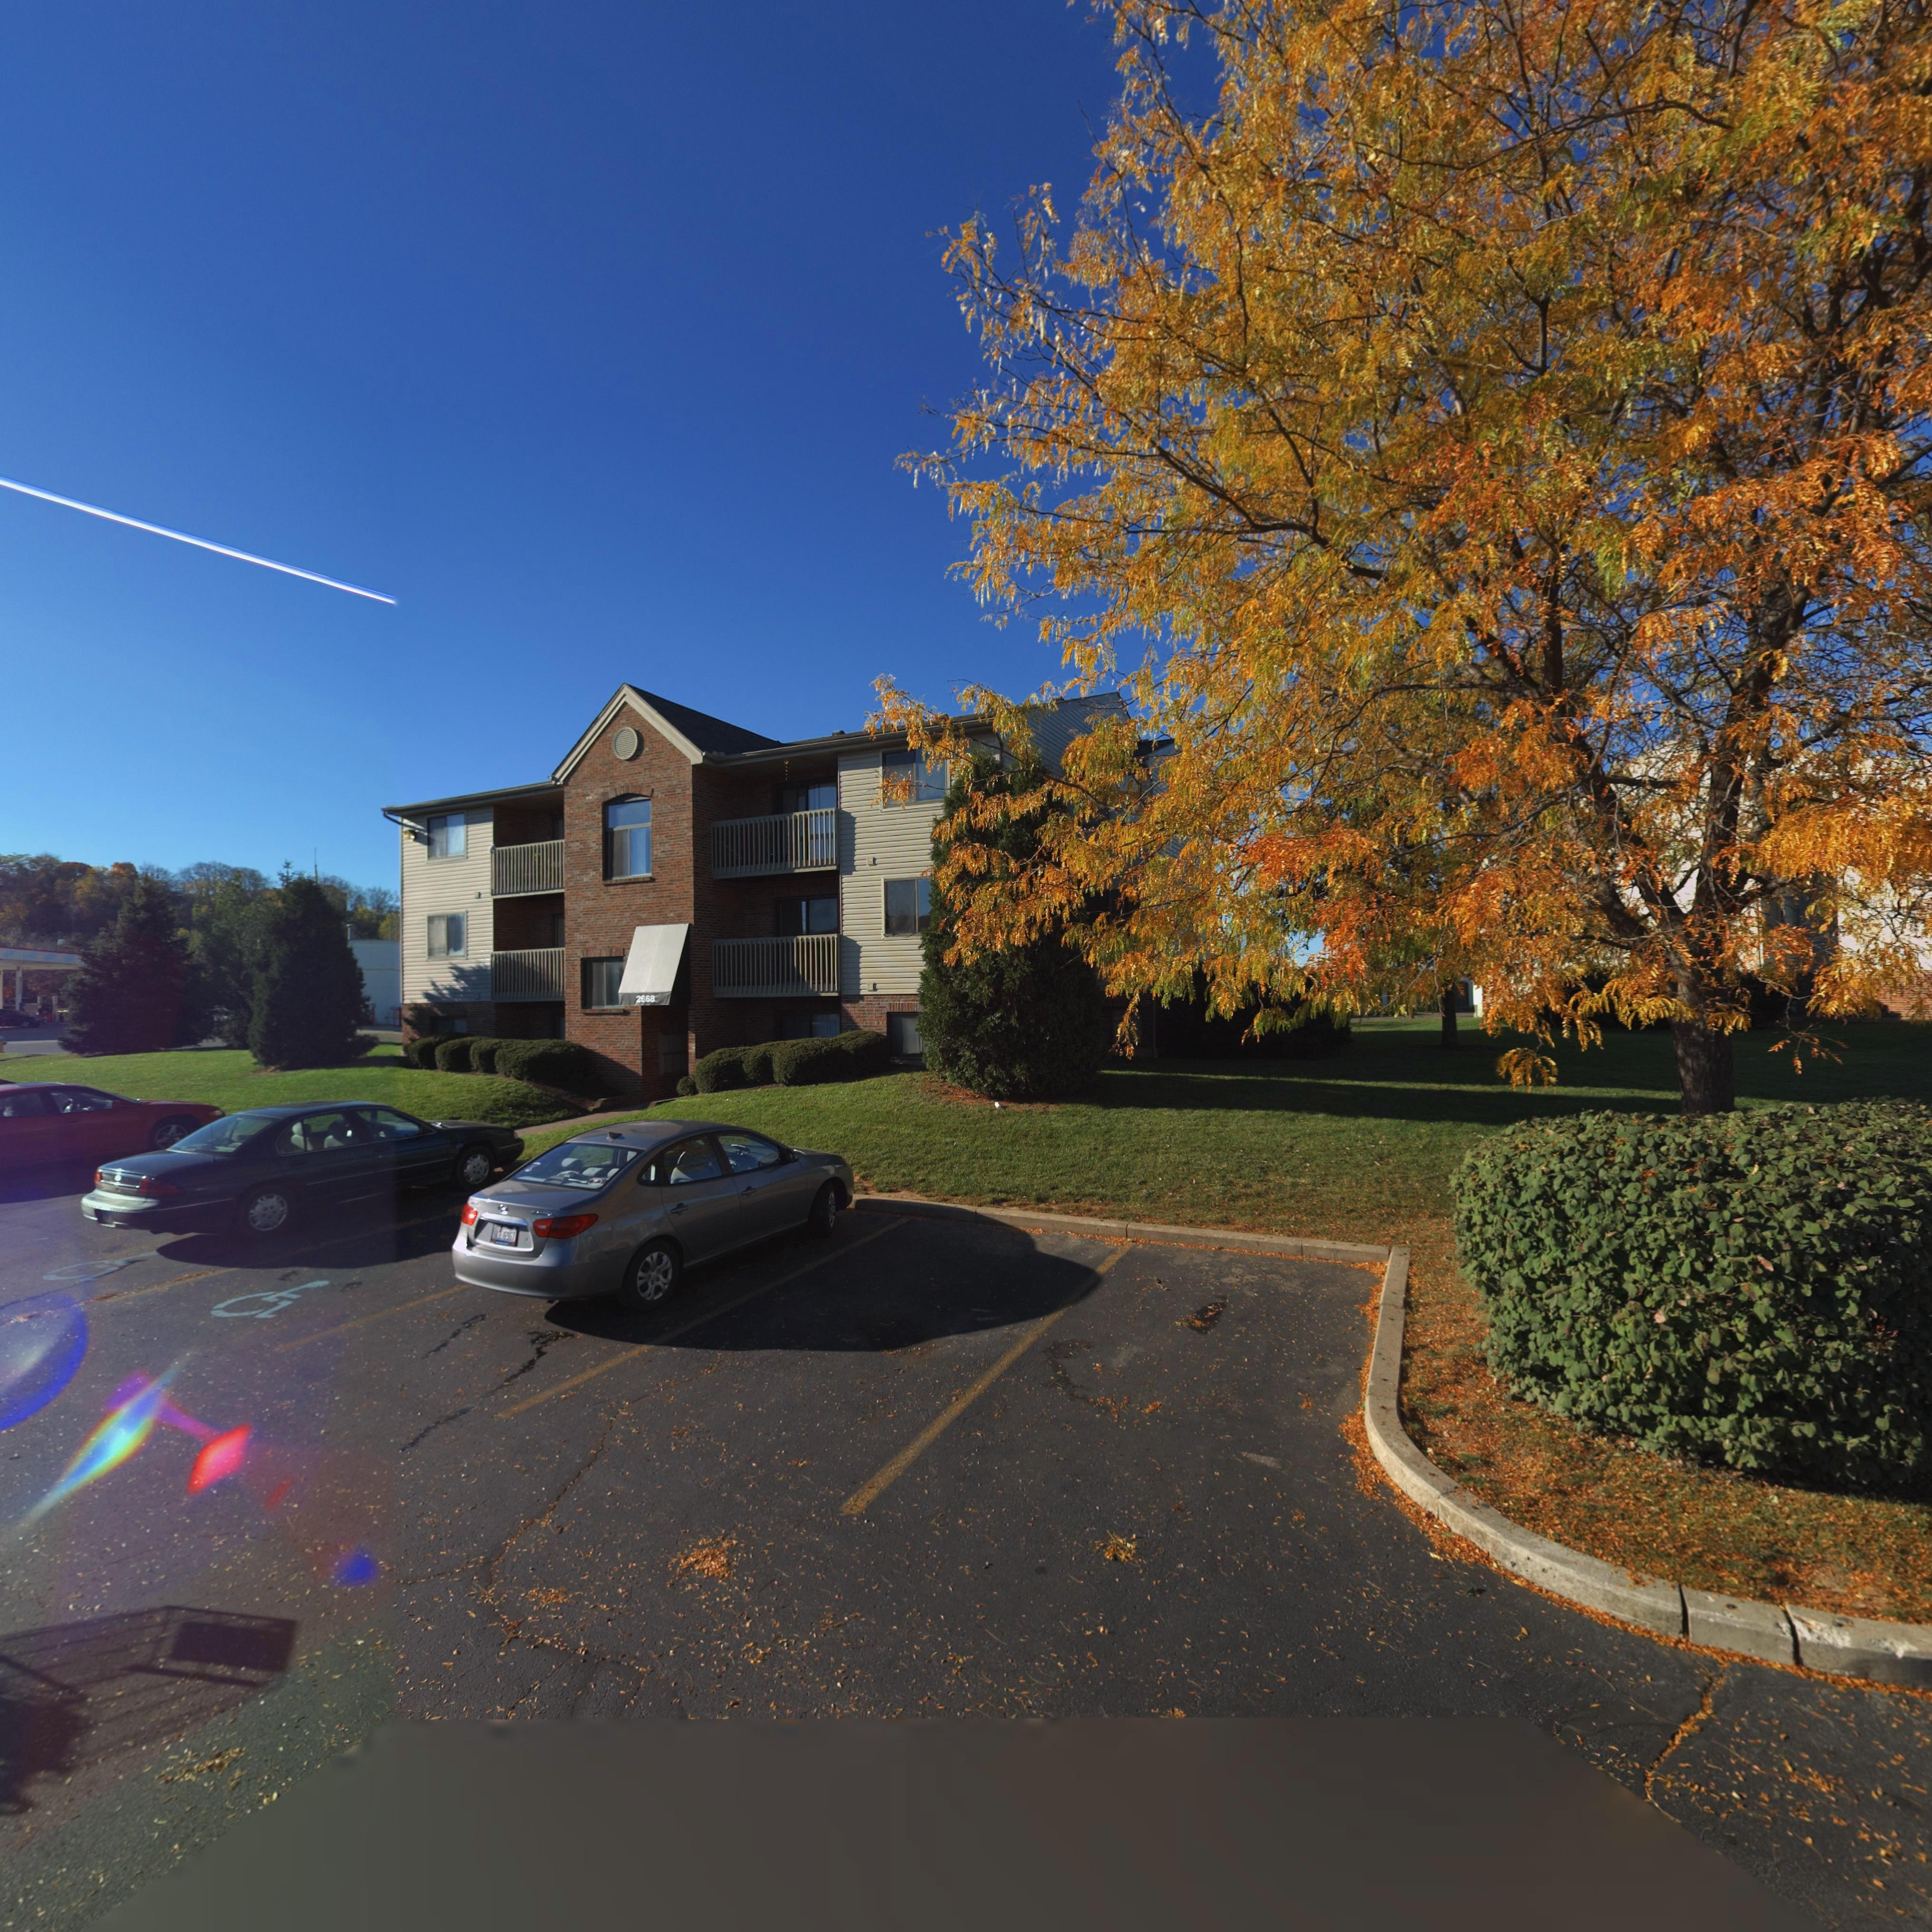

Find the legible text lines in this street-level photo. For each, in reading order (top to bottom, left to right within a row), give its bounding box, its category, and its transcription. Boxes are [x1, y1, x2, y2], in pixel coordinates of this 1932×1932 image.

[636, 995, 656, 1003] StreetNumber: 2668